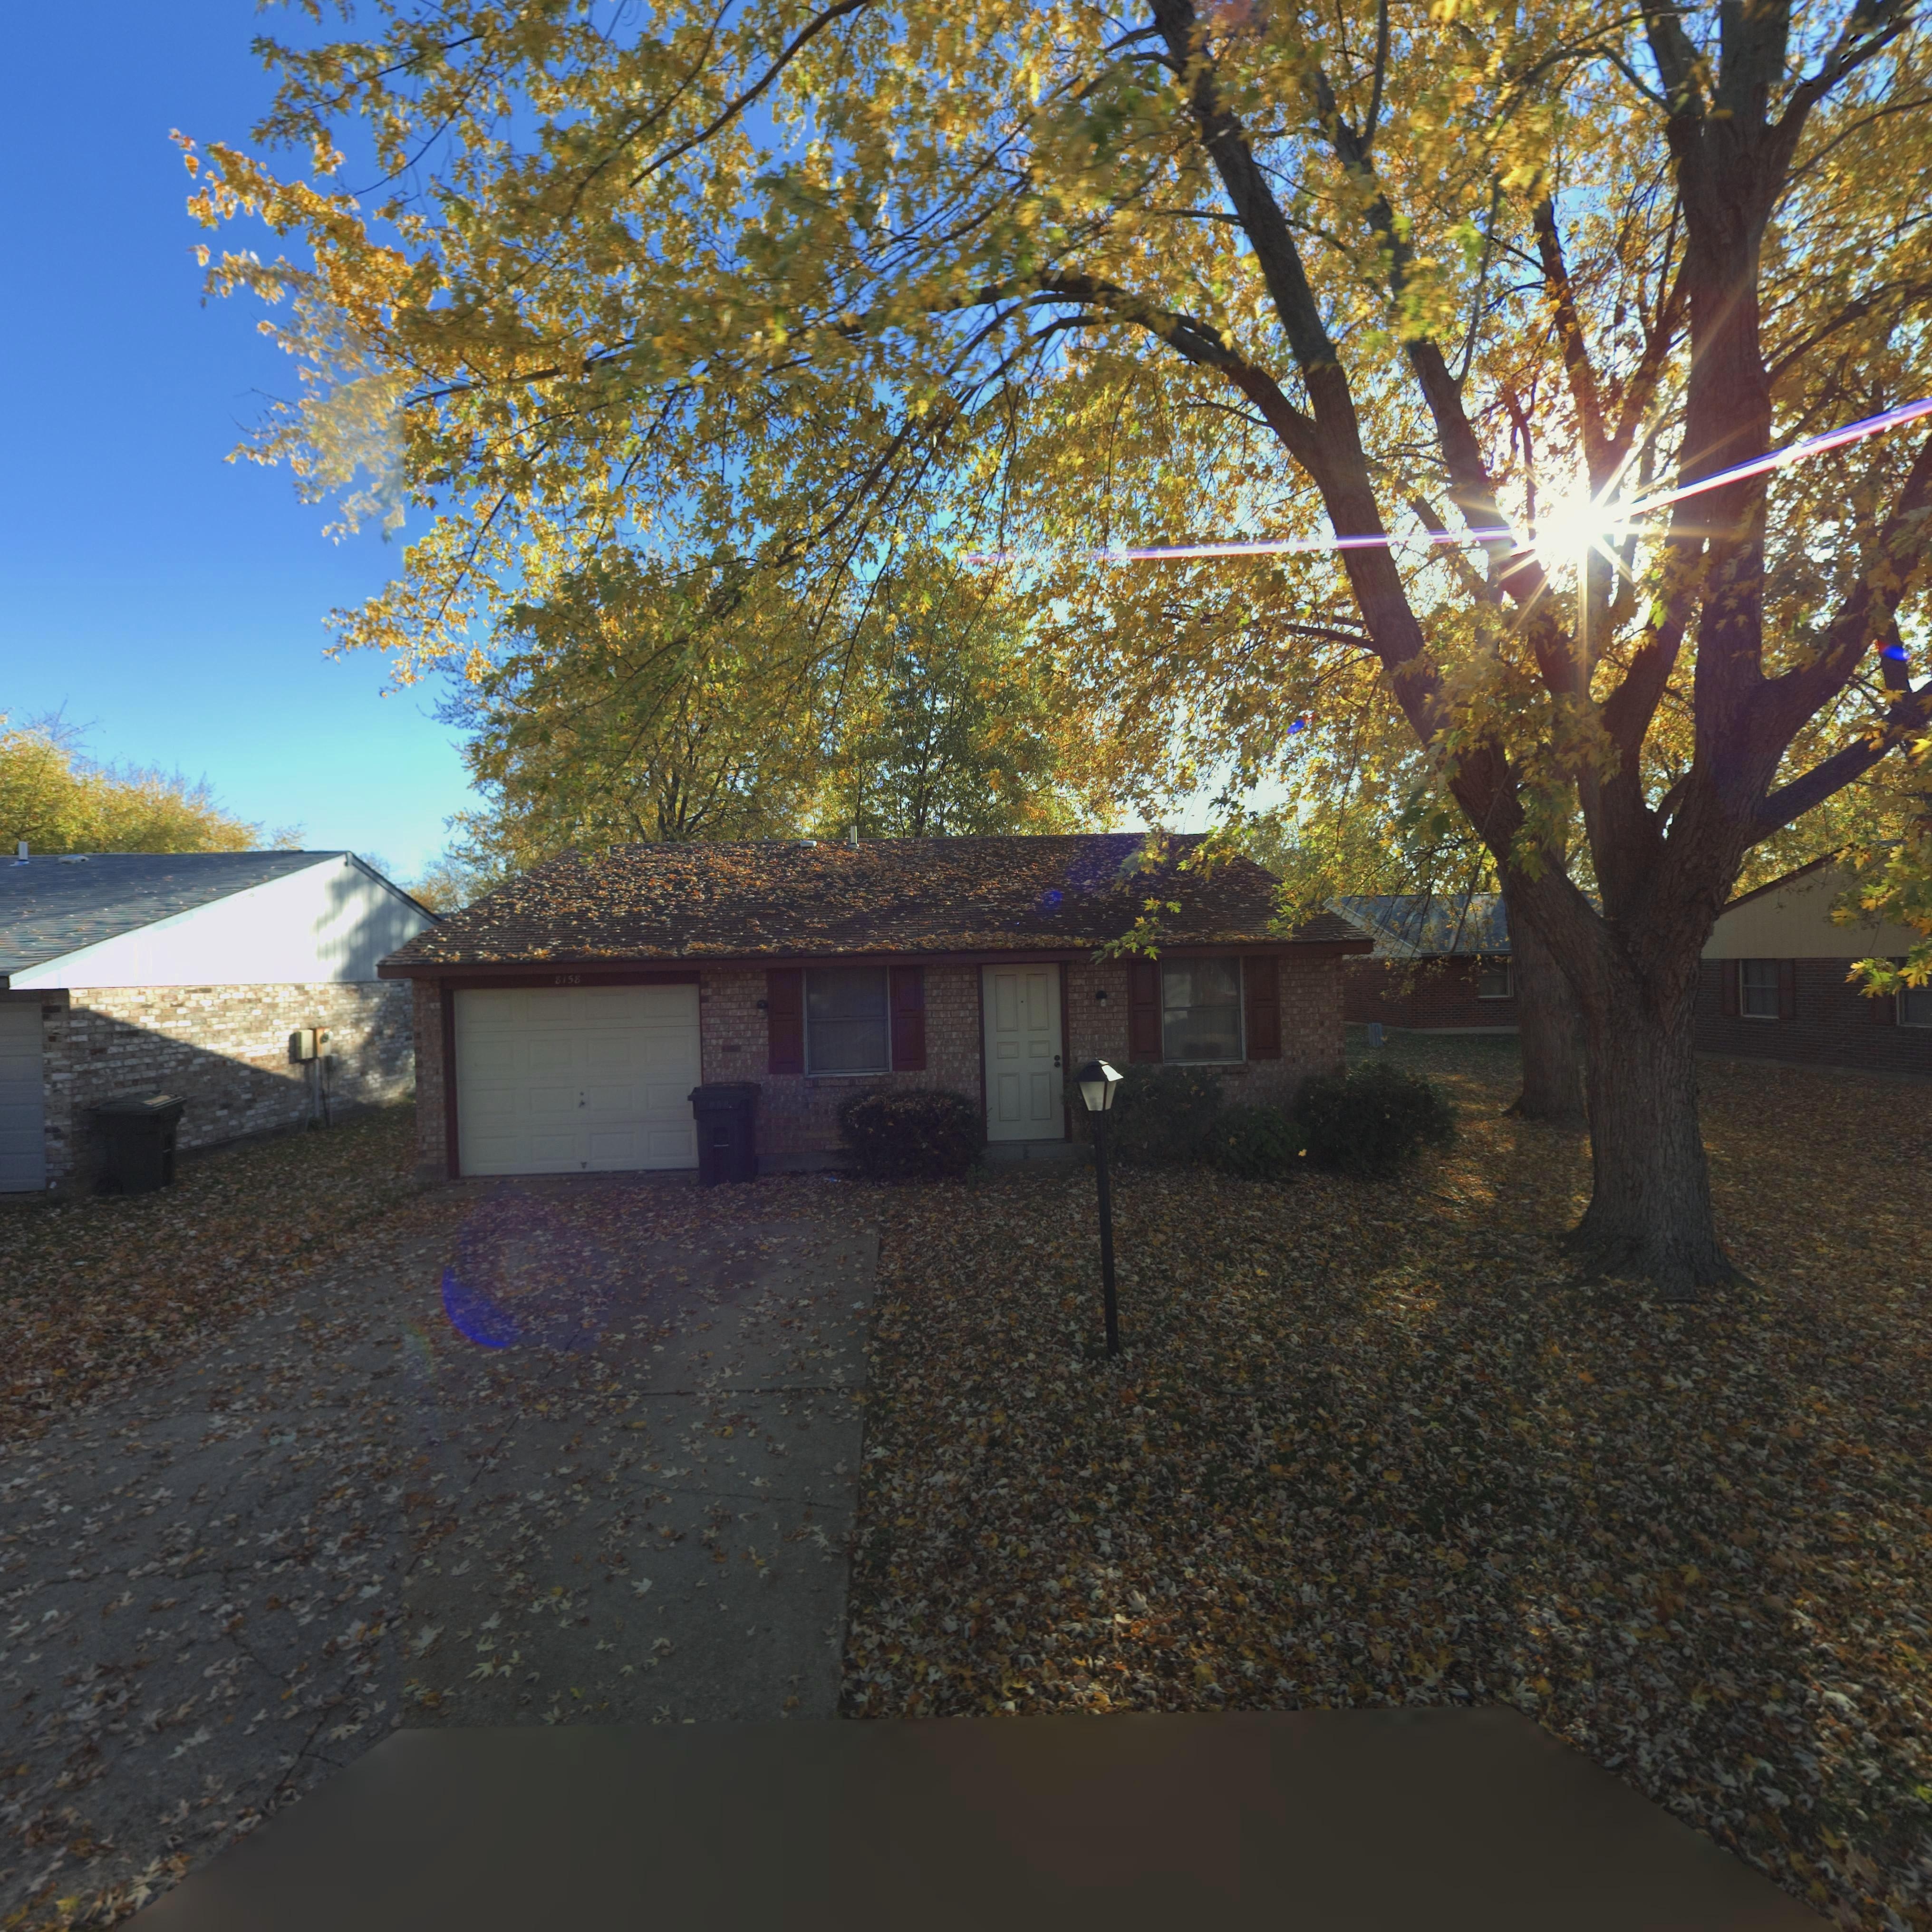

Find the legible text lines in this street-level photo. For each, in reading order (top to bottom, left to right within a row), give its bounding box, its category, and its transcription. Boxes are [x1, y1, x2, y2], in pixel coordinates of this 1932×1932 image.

[554, 974, 581, 985] StreetNumber: 8158